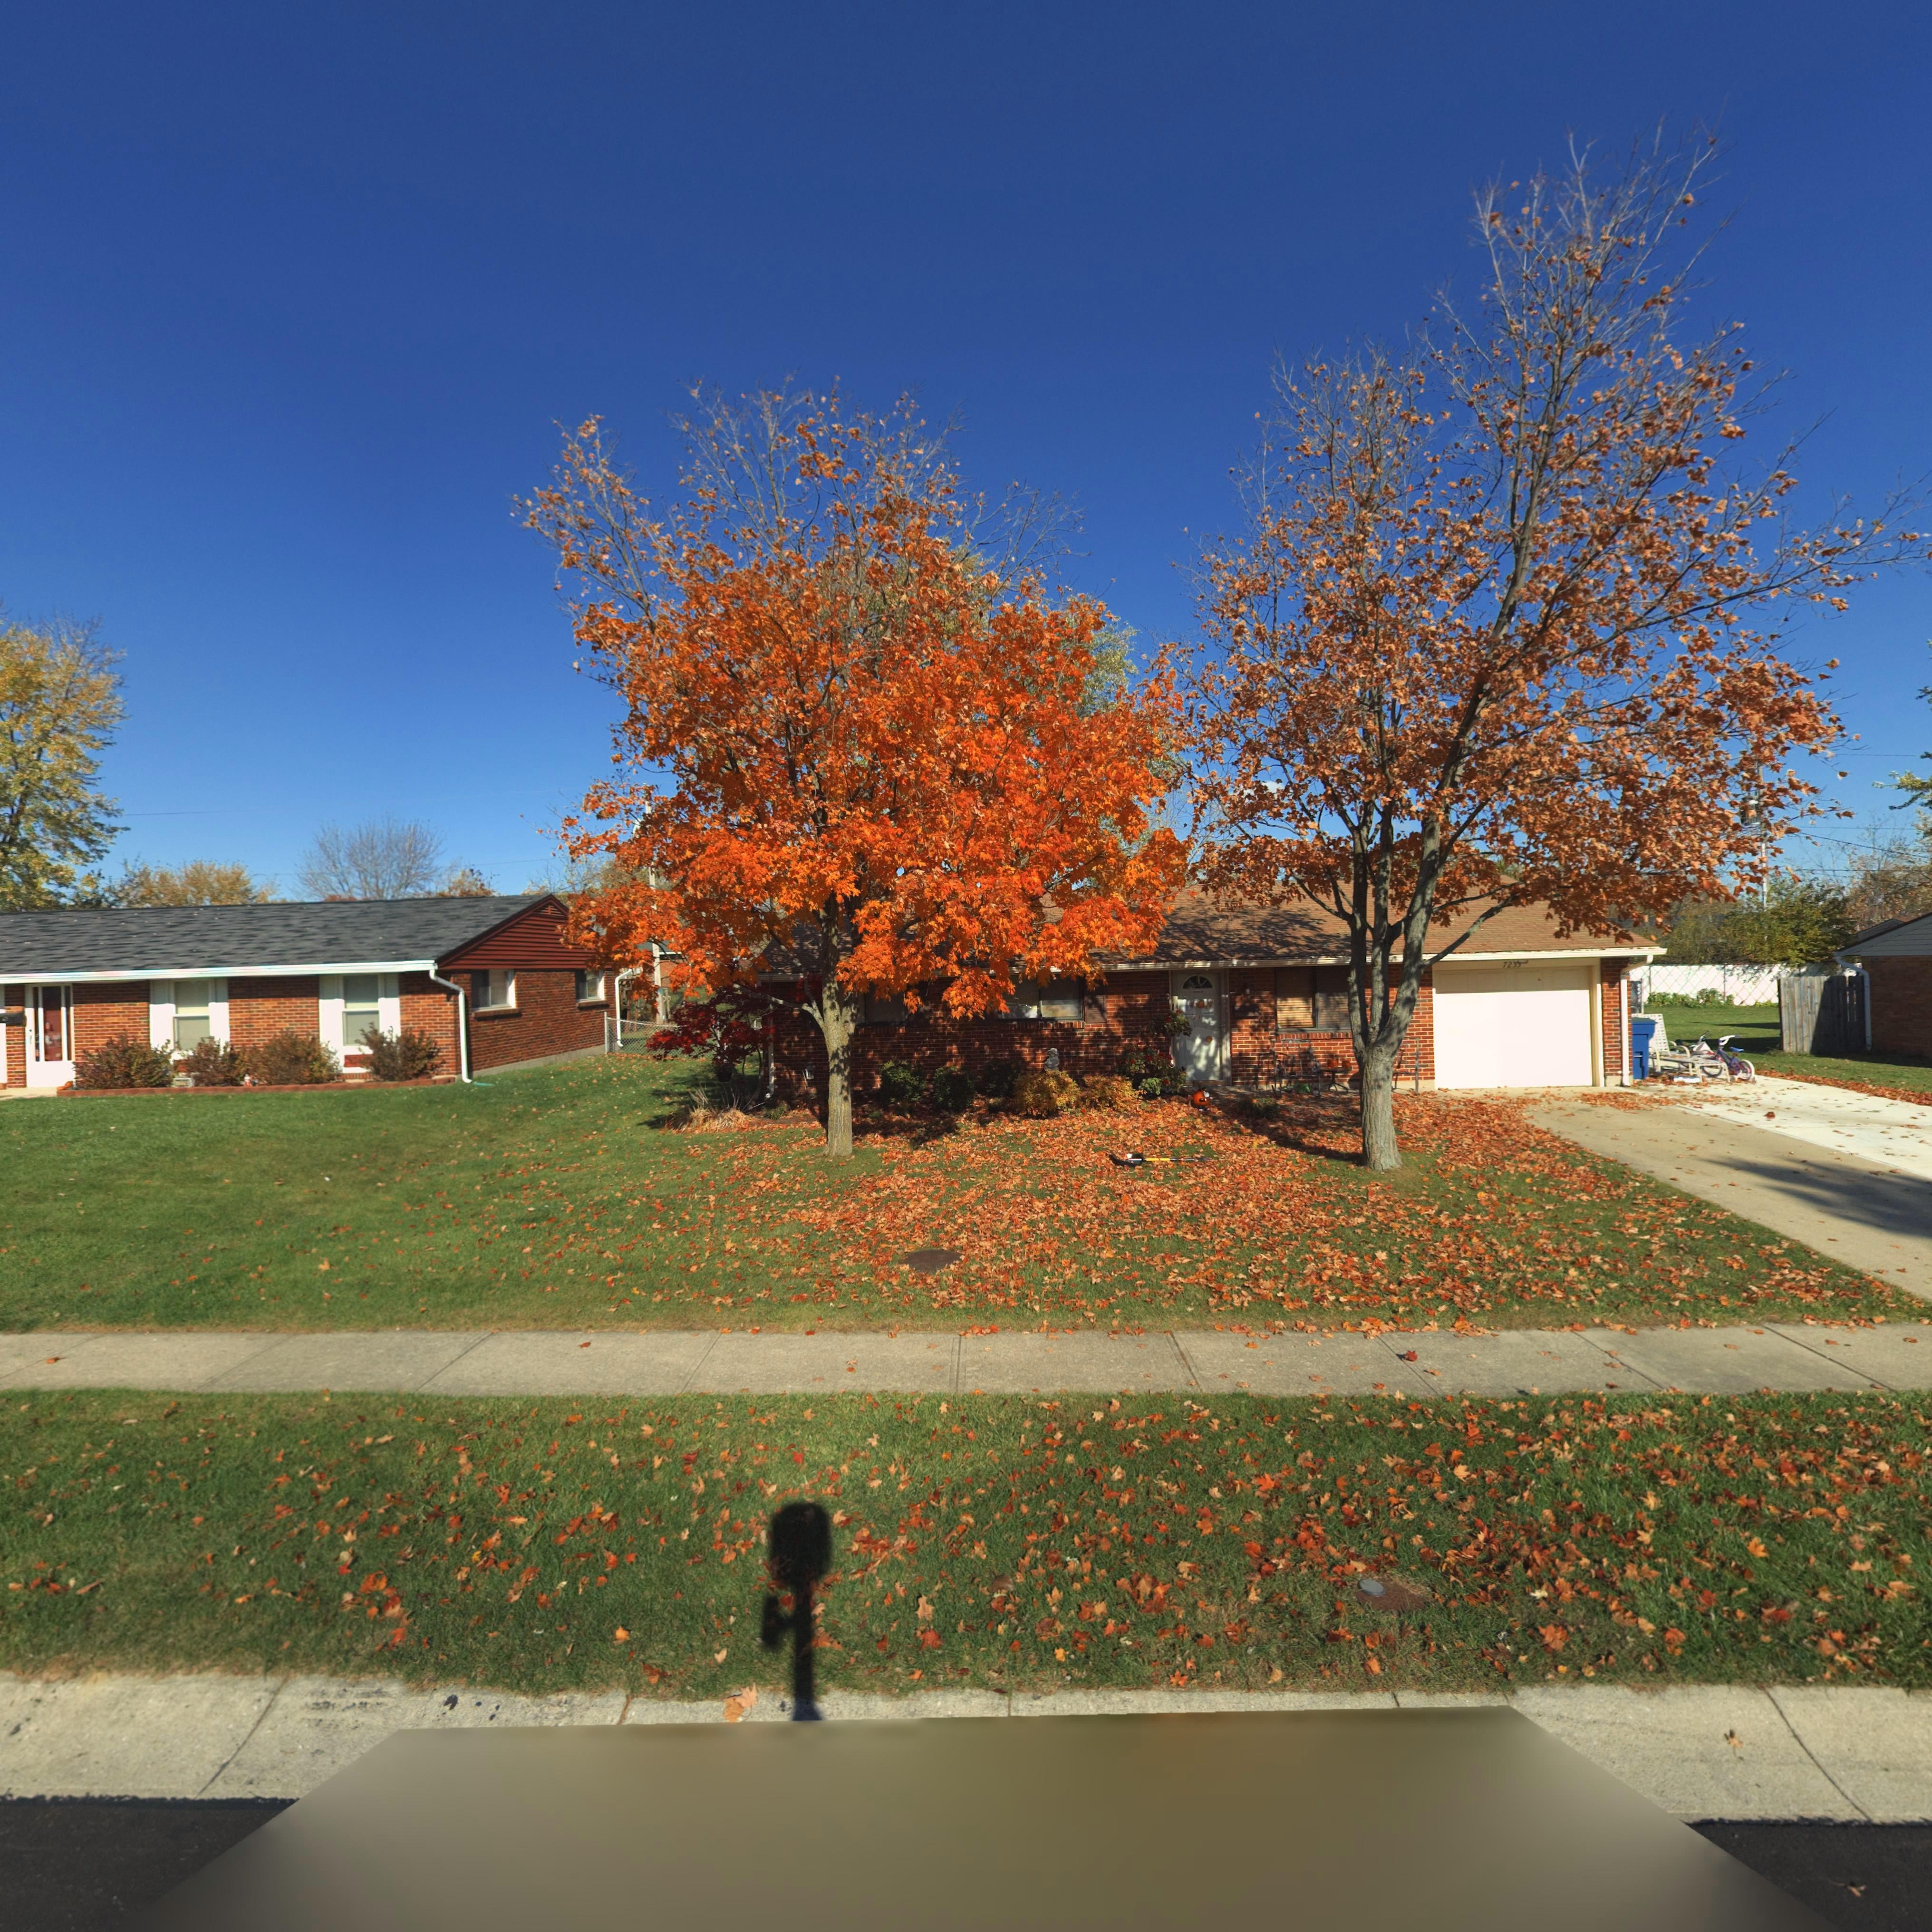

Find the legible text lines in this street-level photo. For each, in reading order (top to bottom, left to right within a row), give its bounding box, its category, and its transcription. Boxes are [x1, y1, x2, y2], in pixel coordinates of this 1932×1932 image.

[1502, 960, 1513, 969] StreetNumber: 72